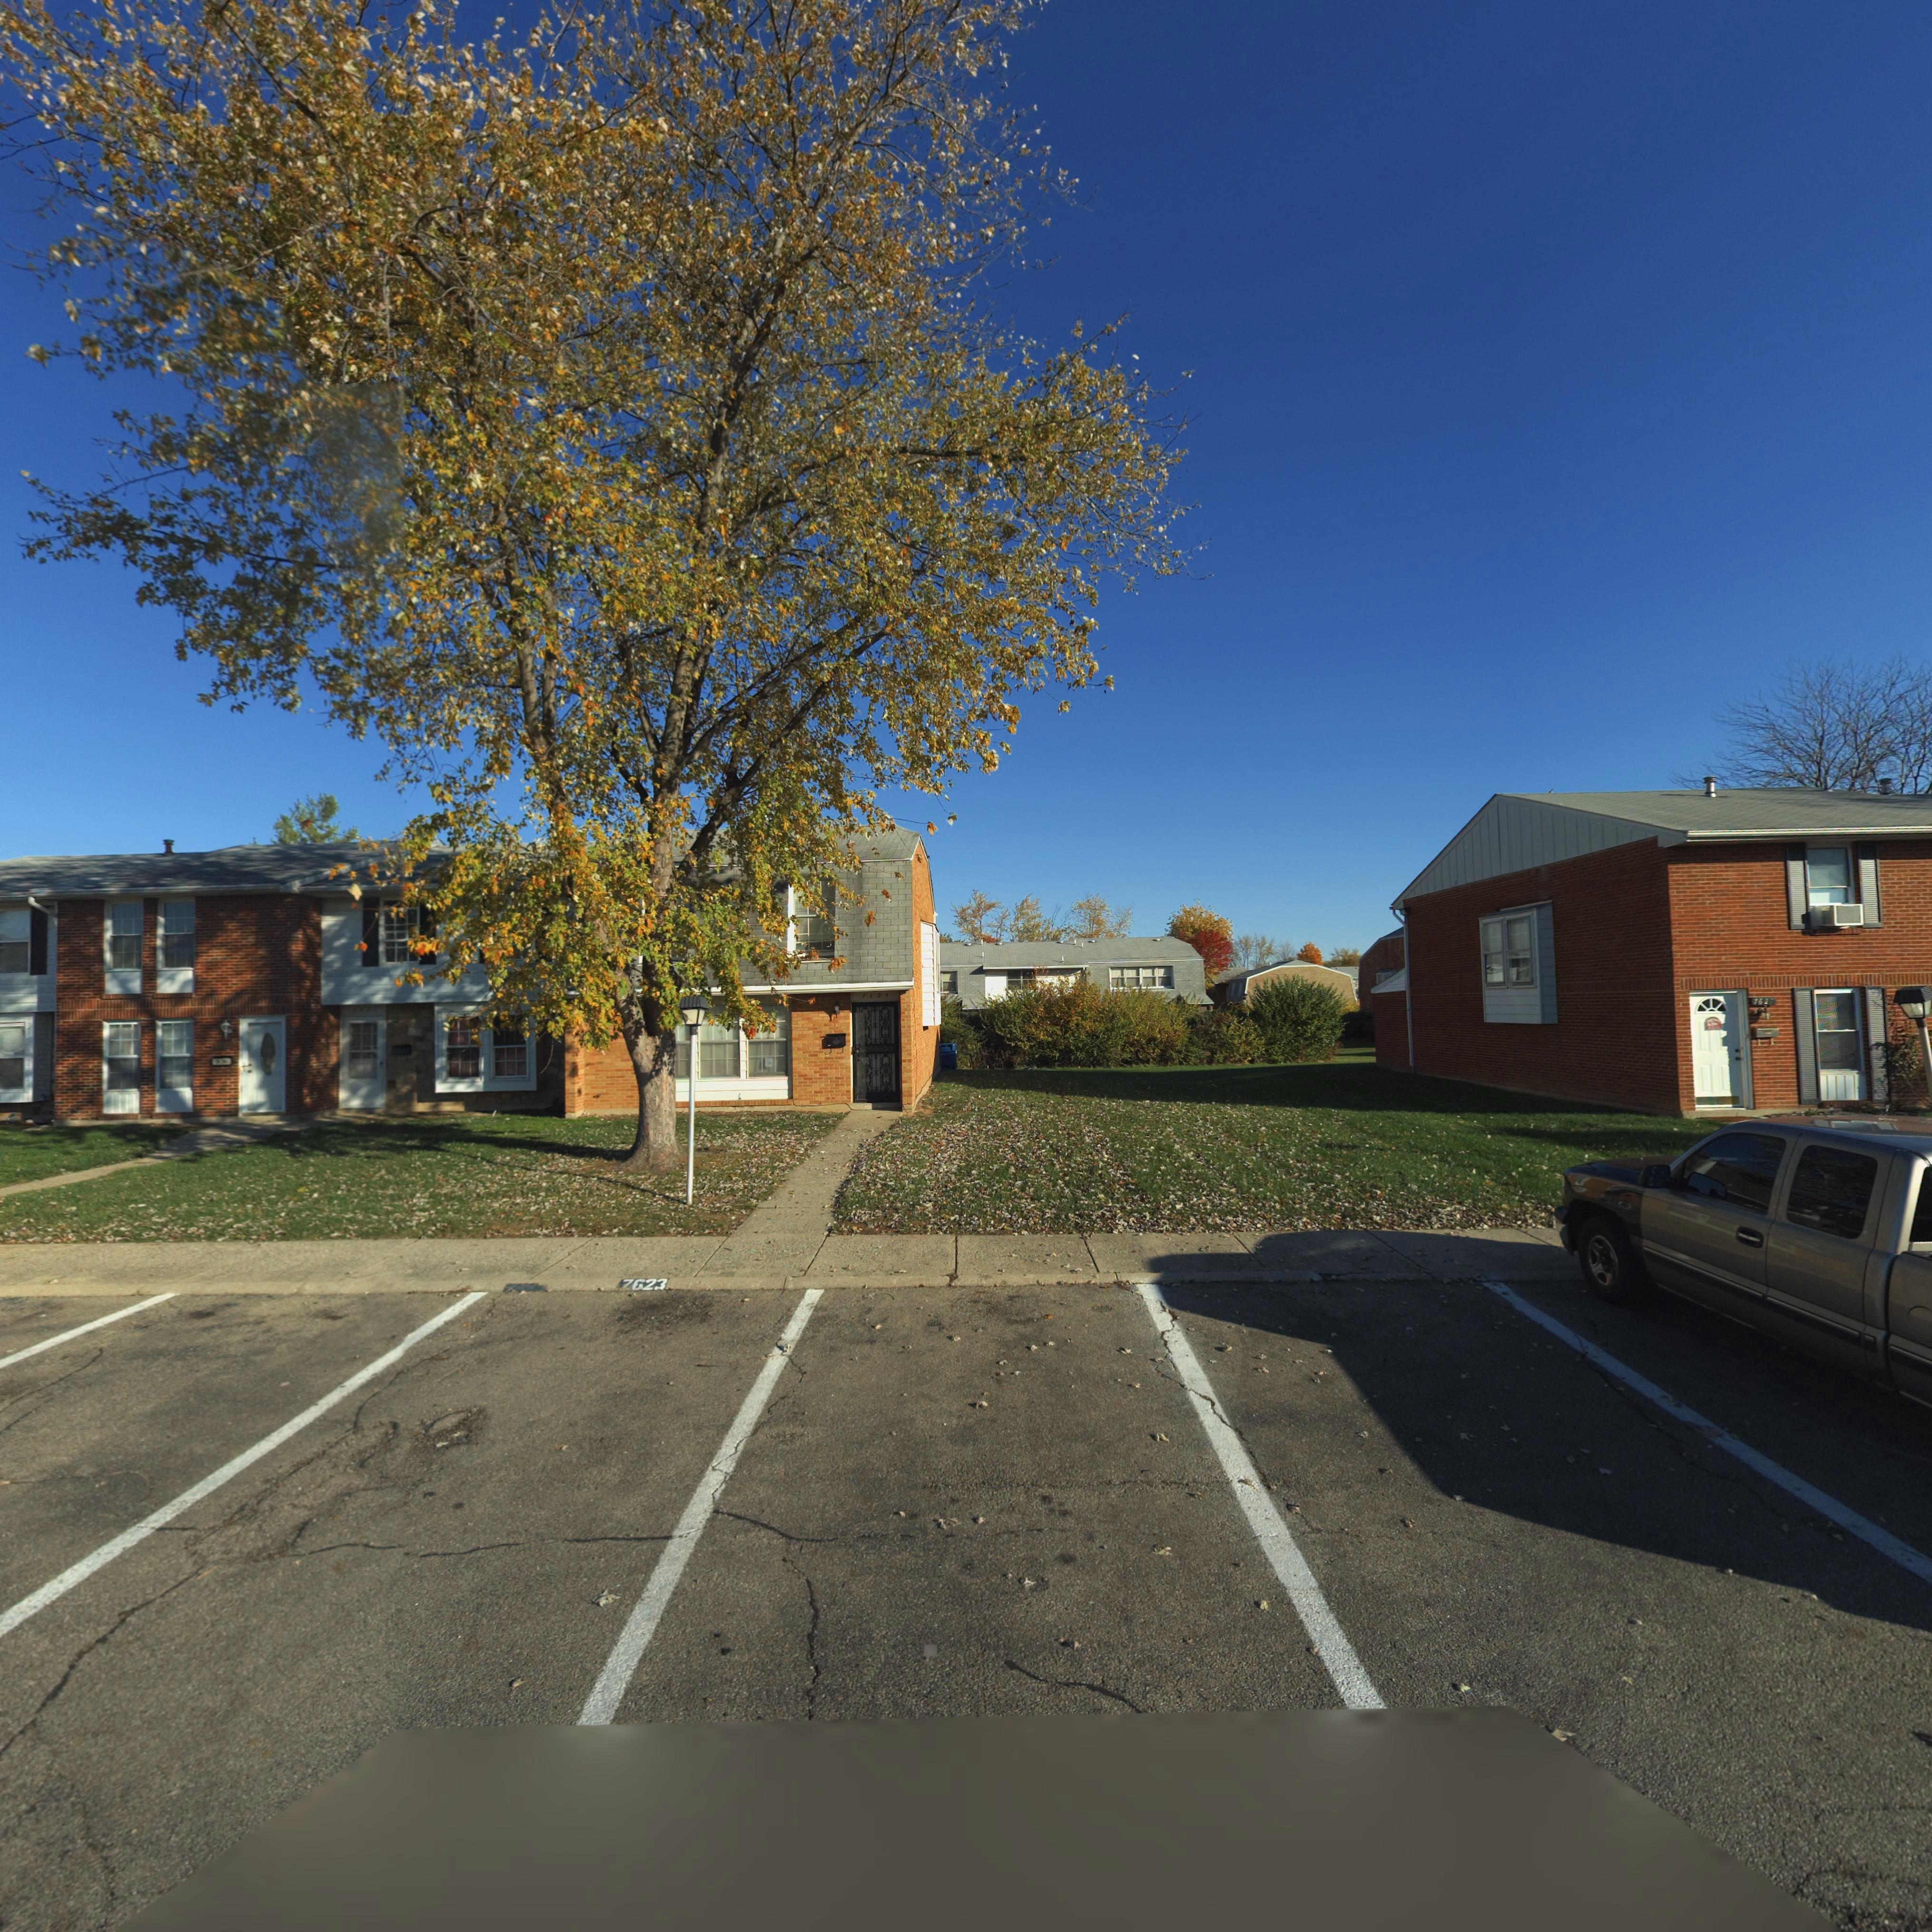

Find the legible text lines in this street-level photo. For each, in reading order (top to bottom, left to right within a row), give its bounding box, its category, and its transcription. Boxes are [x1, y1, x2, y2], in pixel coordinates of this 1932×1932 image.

[862, 993, 889, 999] StreetNumber: 7623
[1753, 998, 1775, 1005] StreetNumber: 7627
[620, 1278, 668, 1291] StreetNumber: 7623